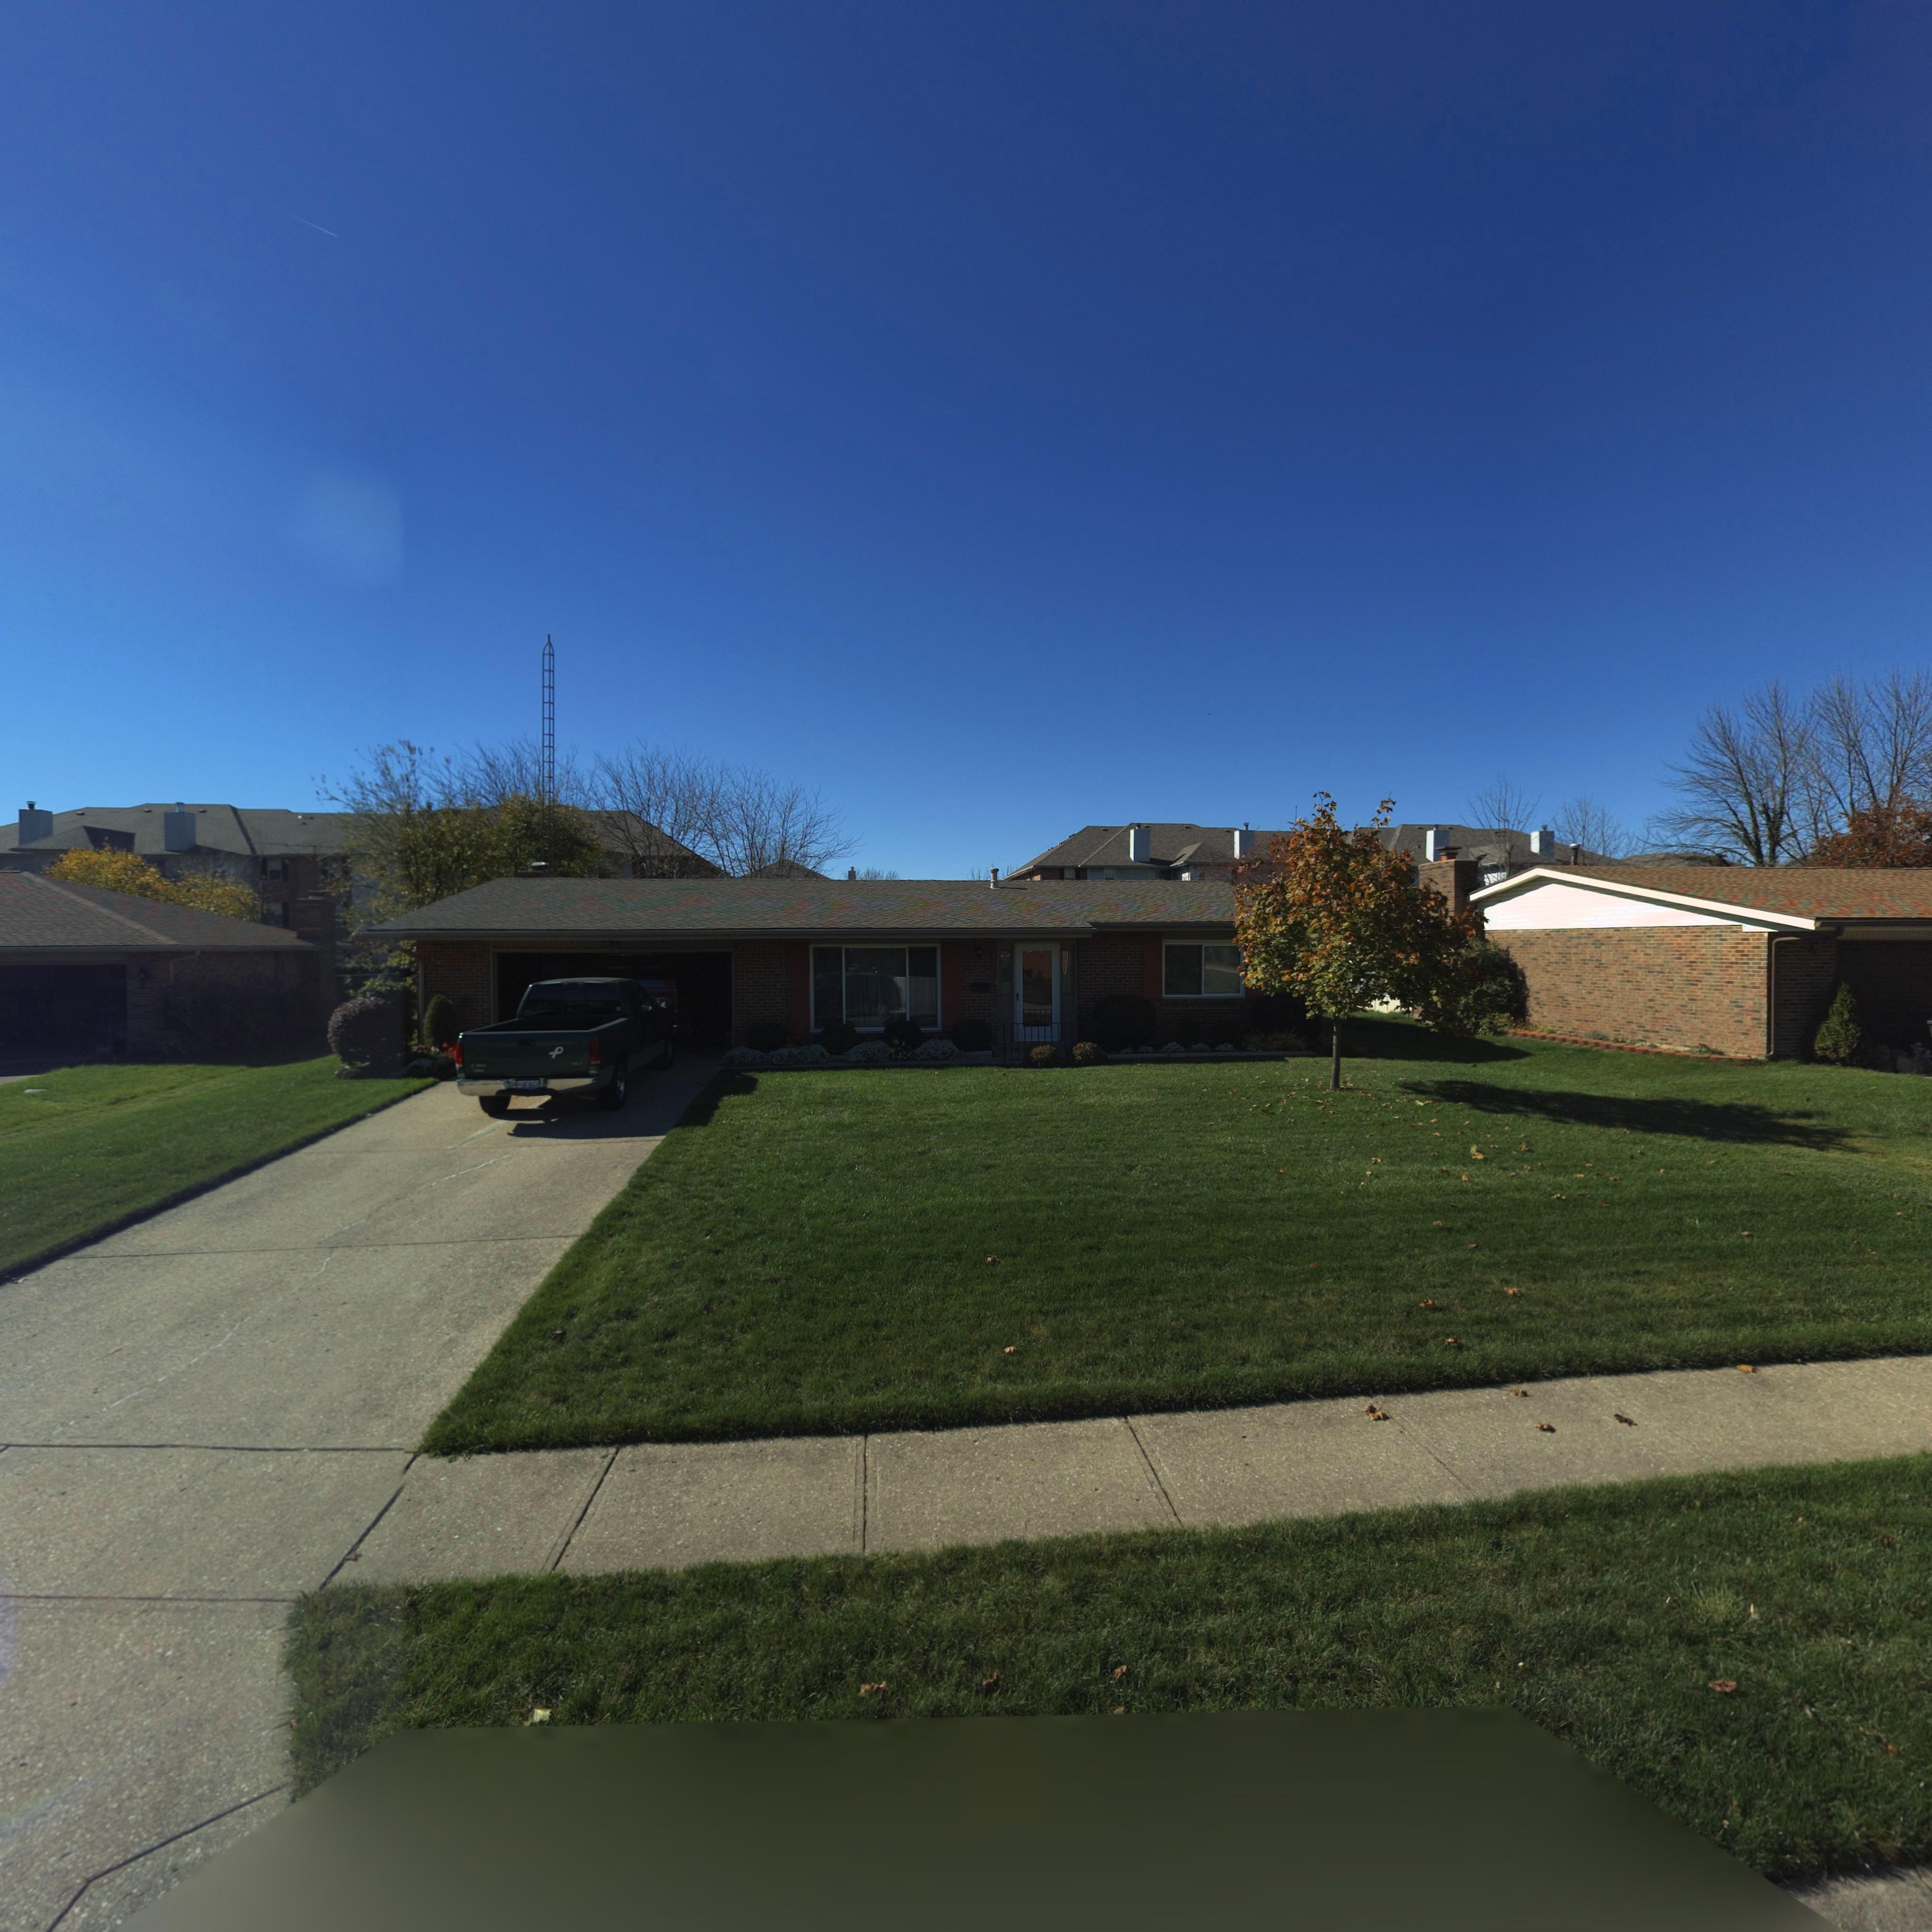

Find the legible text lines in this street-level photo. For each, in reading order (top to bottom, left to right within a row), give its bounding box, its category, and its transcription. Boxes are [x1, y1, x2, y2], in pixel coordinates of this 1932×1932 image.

[602, 940, 622, 949] StreetNumber: **9